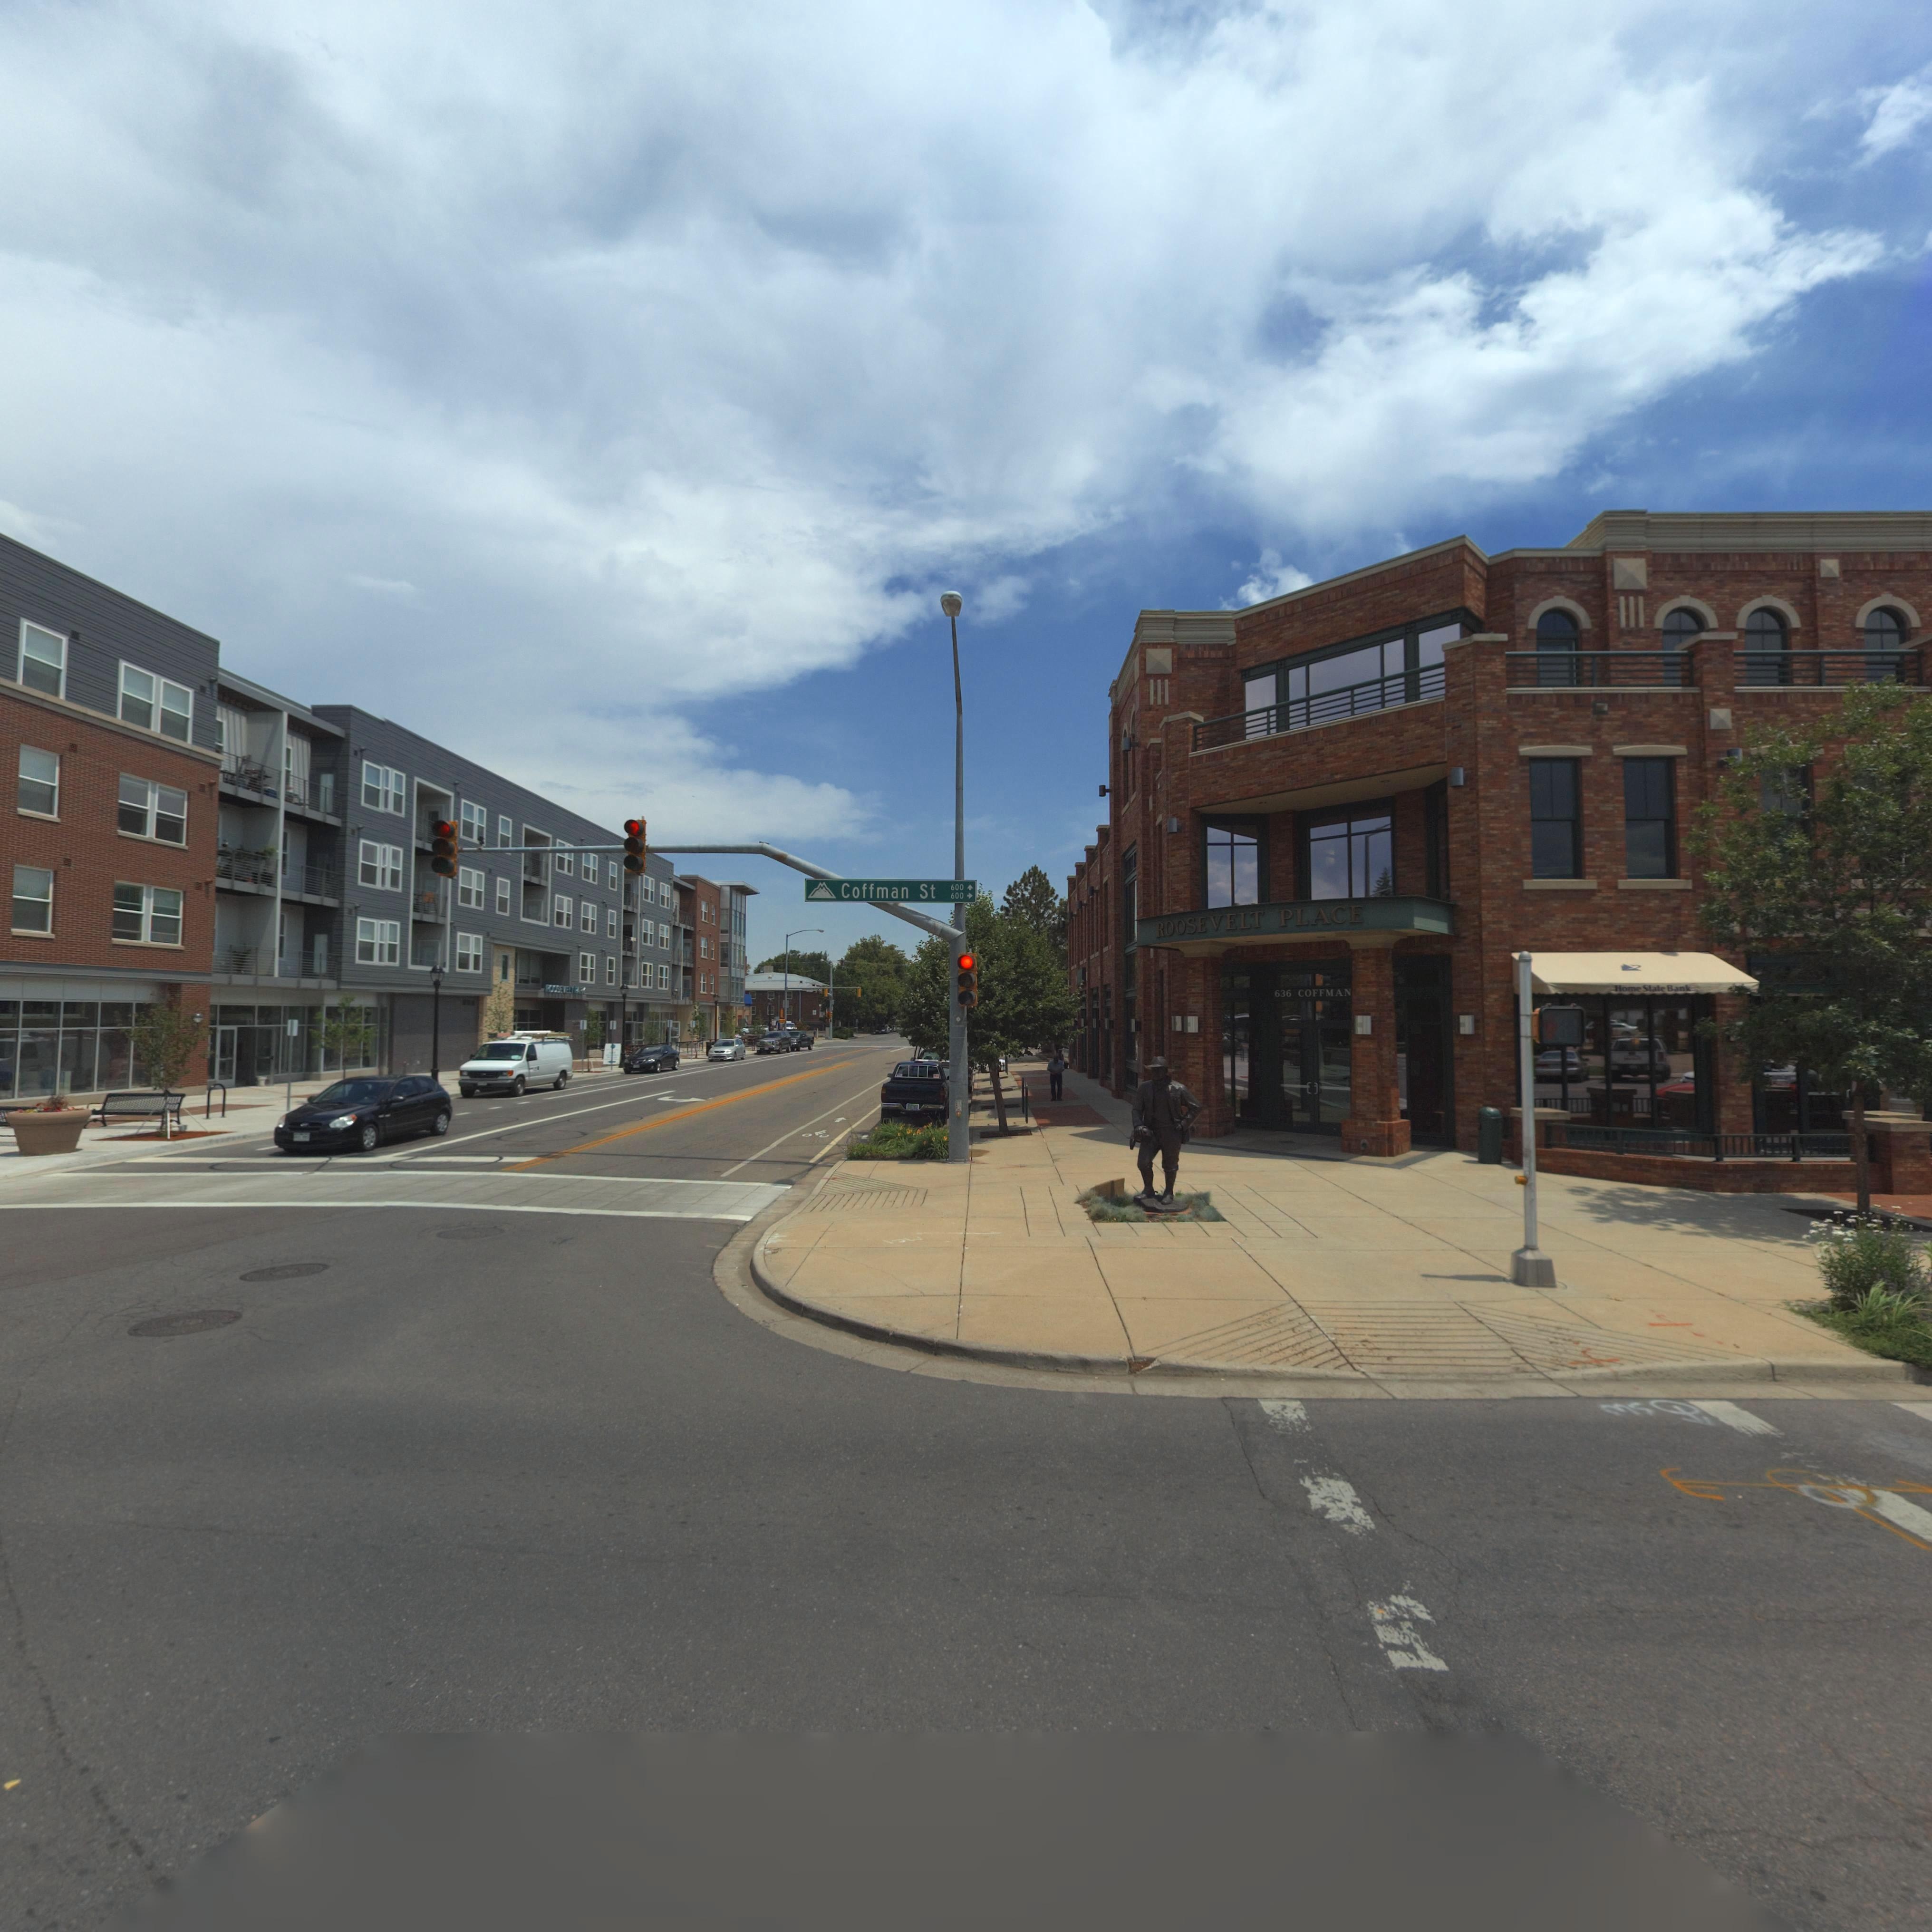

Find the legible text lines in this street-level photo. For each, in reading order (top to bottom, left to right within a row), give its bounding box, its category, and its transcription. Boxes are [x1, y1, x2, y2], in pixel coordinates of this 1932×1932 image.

[840, 882, 938, 899] StreetName: Coffman St
[950, 883, 964, 890] StreetNumberRange: 600
[949, 892, 973, 899] StreetNumberRange: 600 ->
[1155, 905, 1365, 938] BusinessName: ROOSEVELT PLACE
[544, 983, 587, 995] BusinessName: ROOSEVELT P*RK
[1274, 989, 1292, 998] StreetNumber: 636
[1297, 988, 1352, 997] StreetName: COFFMAN
[1614, 984, 1692, 992] BusinessName: Home State Bank